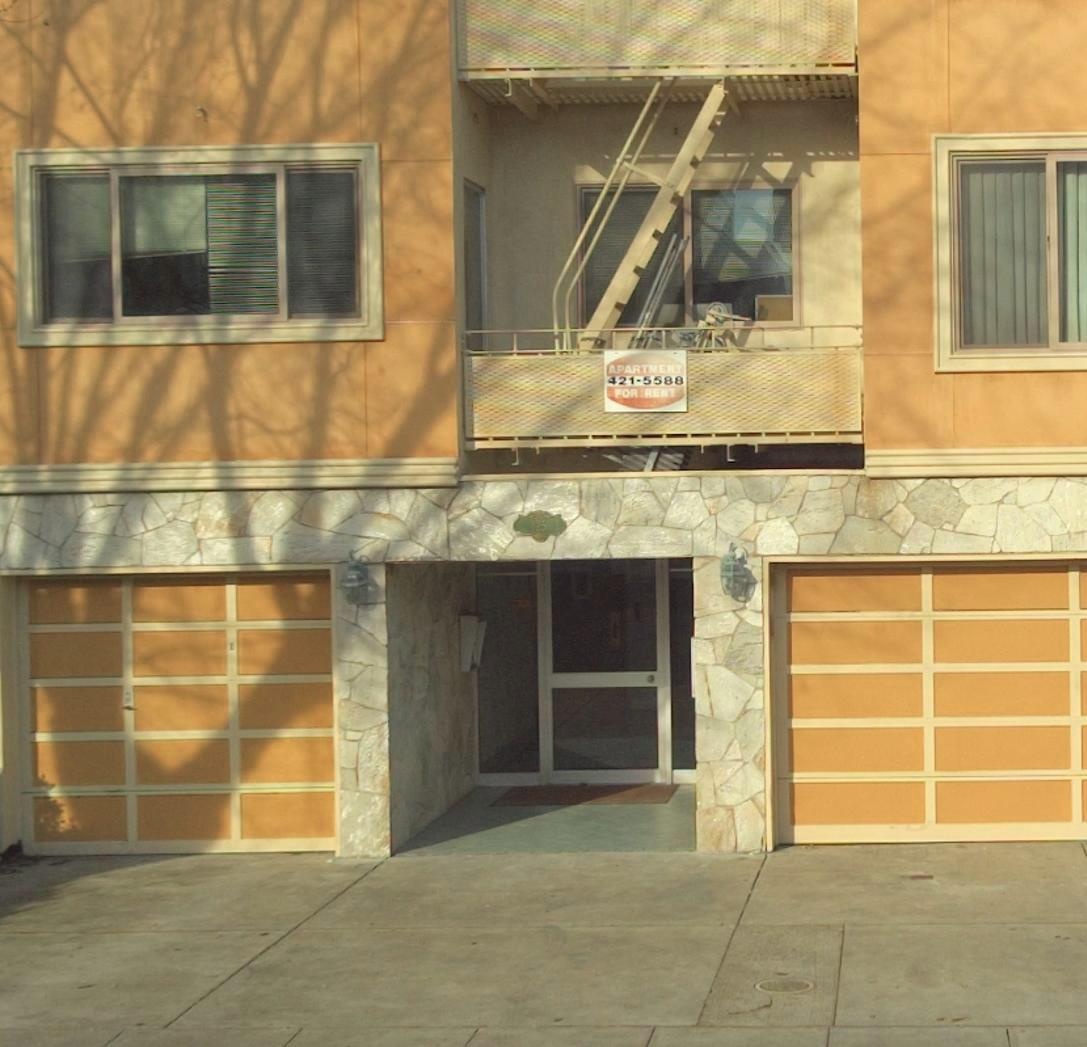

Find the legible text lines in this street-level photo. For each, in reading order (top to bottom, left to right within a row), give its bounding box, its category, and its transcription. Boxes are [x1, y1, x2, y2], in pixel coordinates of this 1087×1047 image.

[605, 361, 685, 377] None: APARTMENT
[605, 373, 686, 388] None: 421-5588
[613, 386, 679, 400] None: FOR RENT
[528, 517, 550, 534] StreetNumber: 125